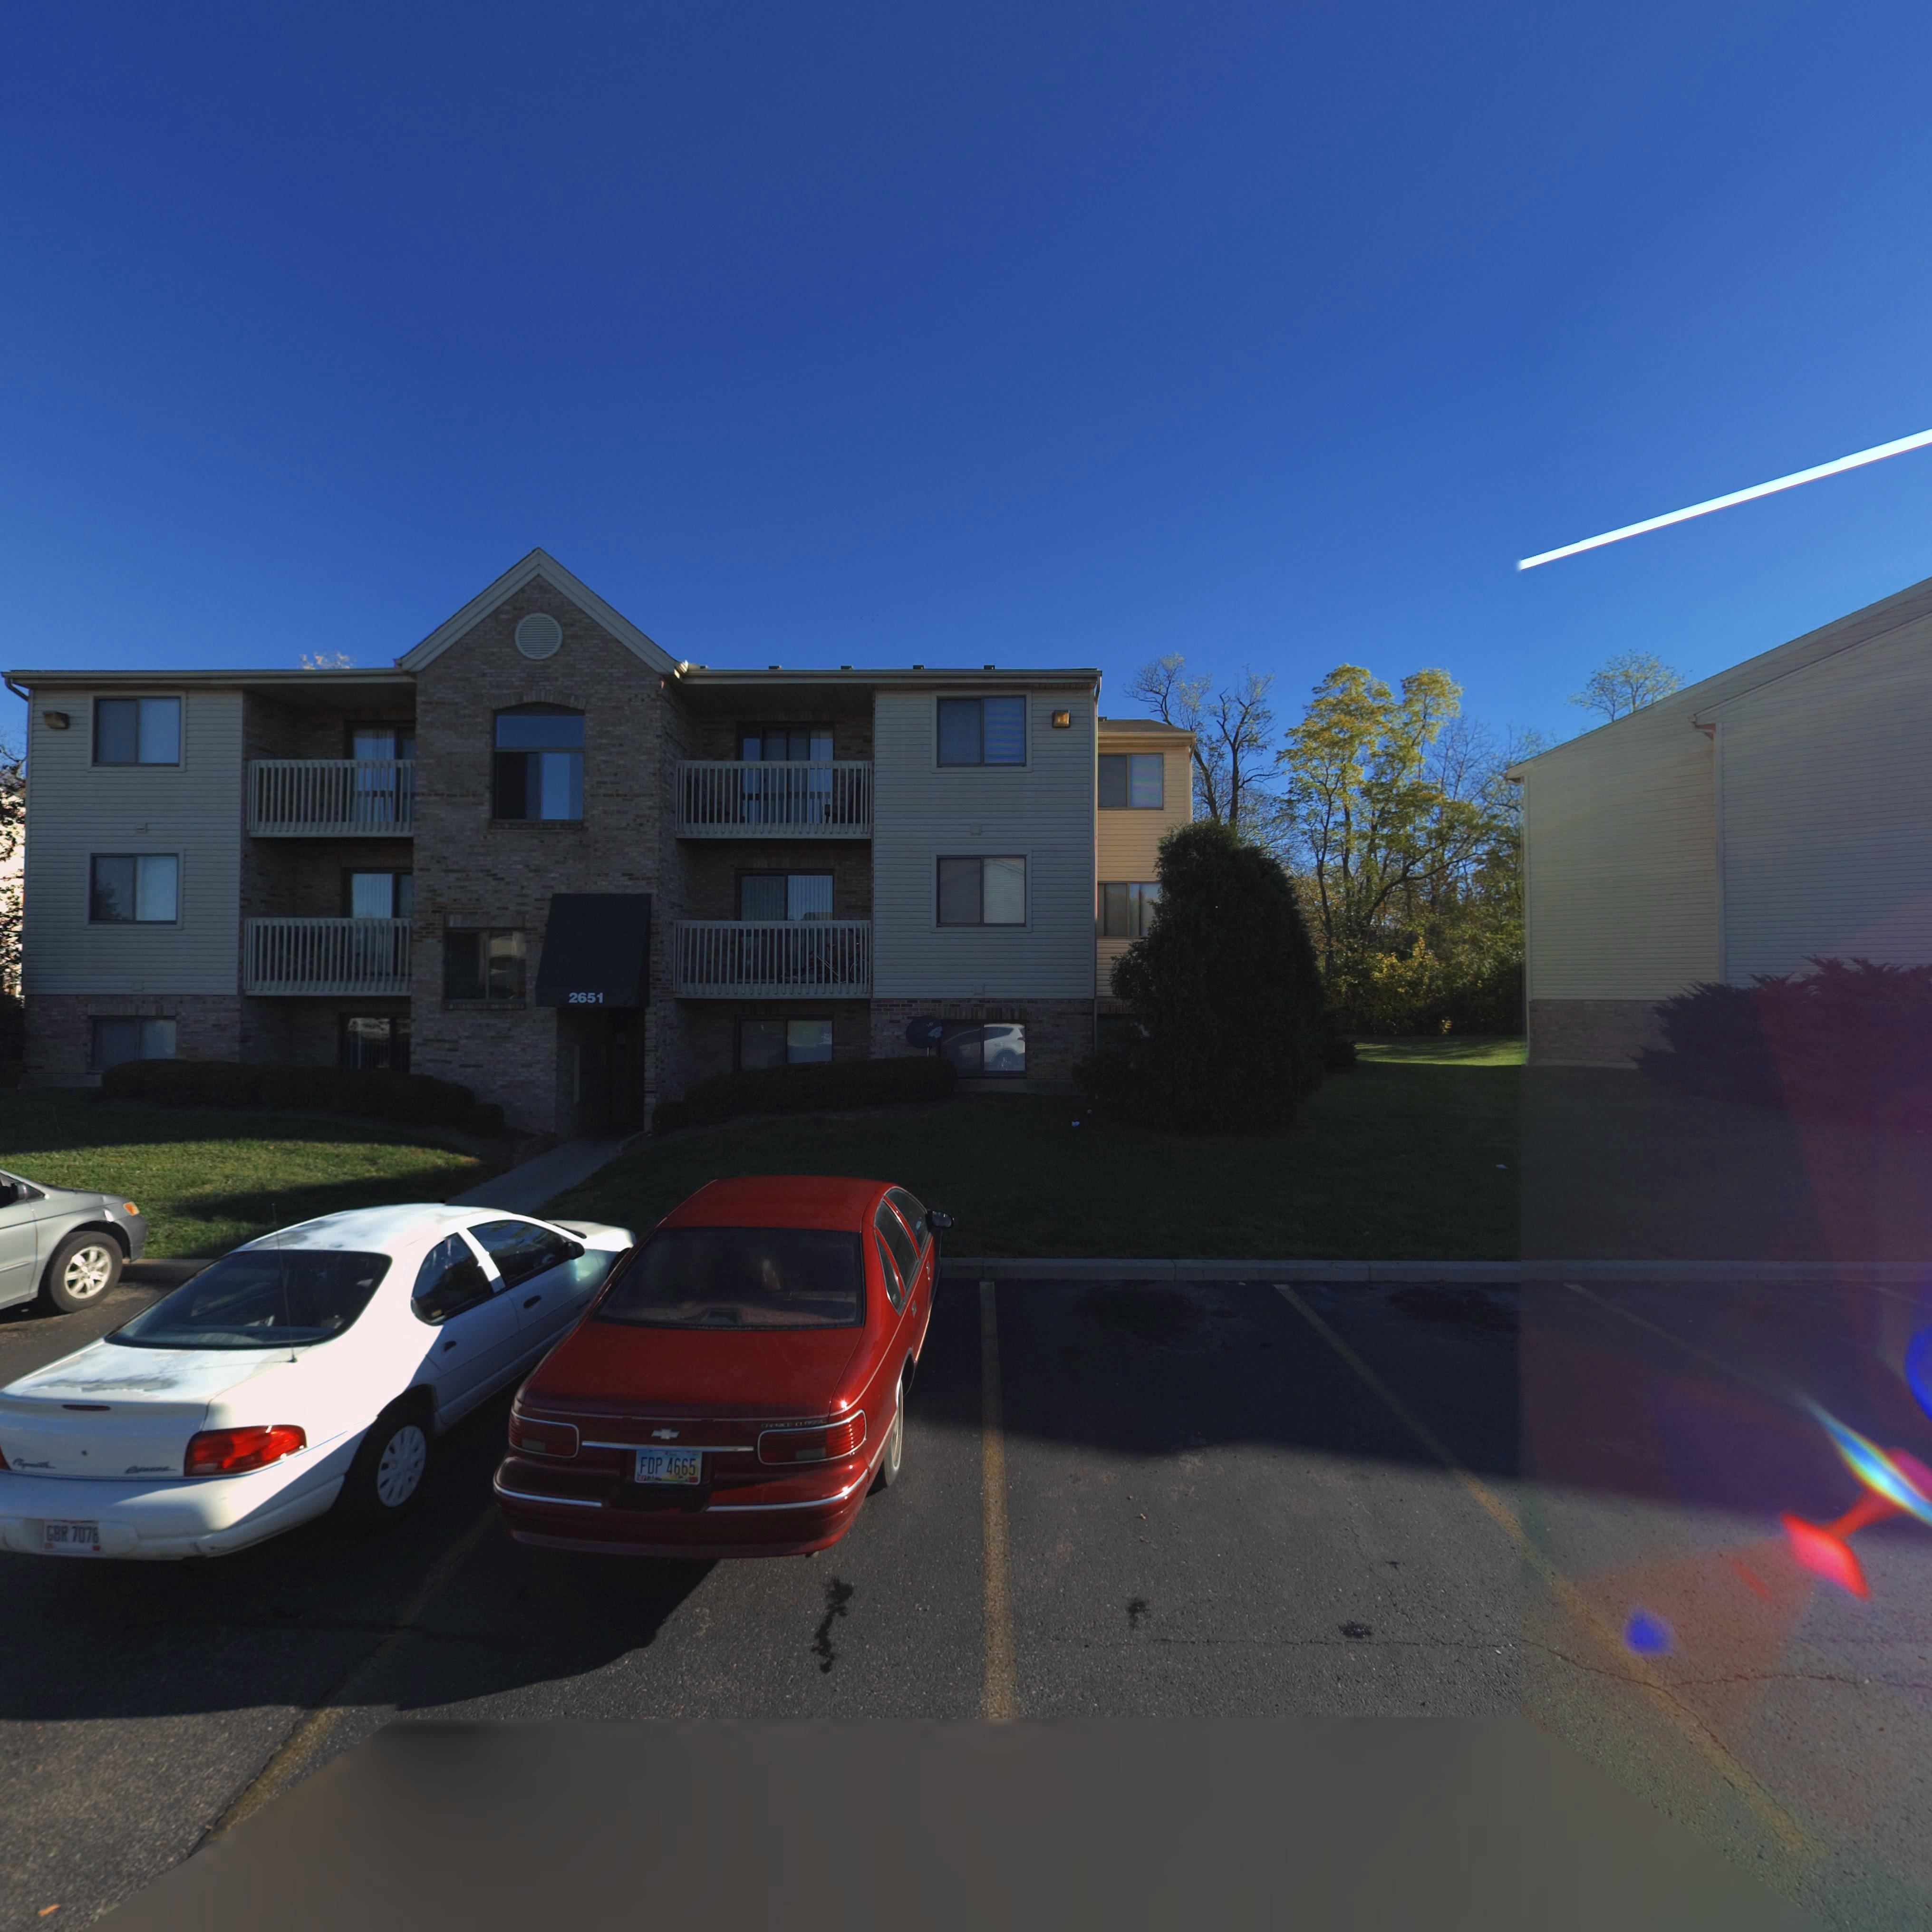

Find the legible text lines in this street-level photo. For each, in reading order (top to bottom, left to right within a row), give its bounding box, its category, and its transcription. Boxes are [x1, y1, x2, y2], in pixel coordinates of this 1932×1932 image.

[567, 991, 604, 1005] StreetNumber: 2651